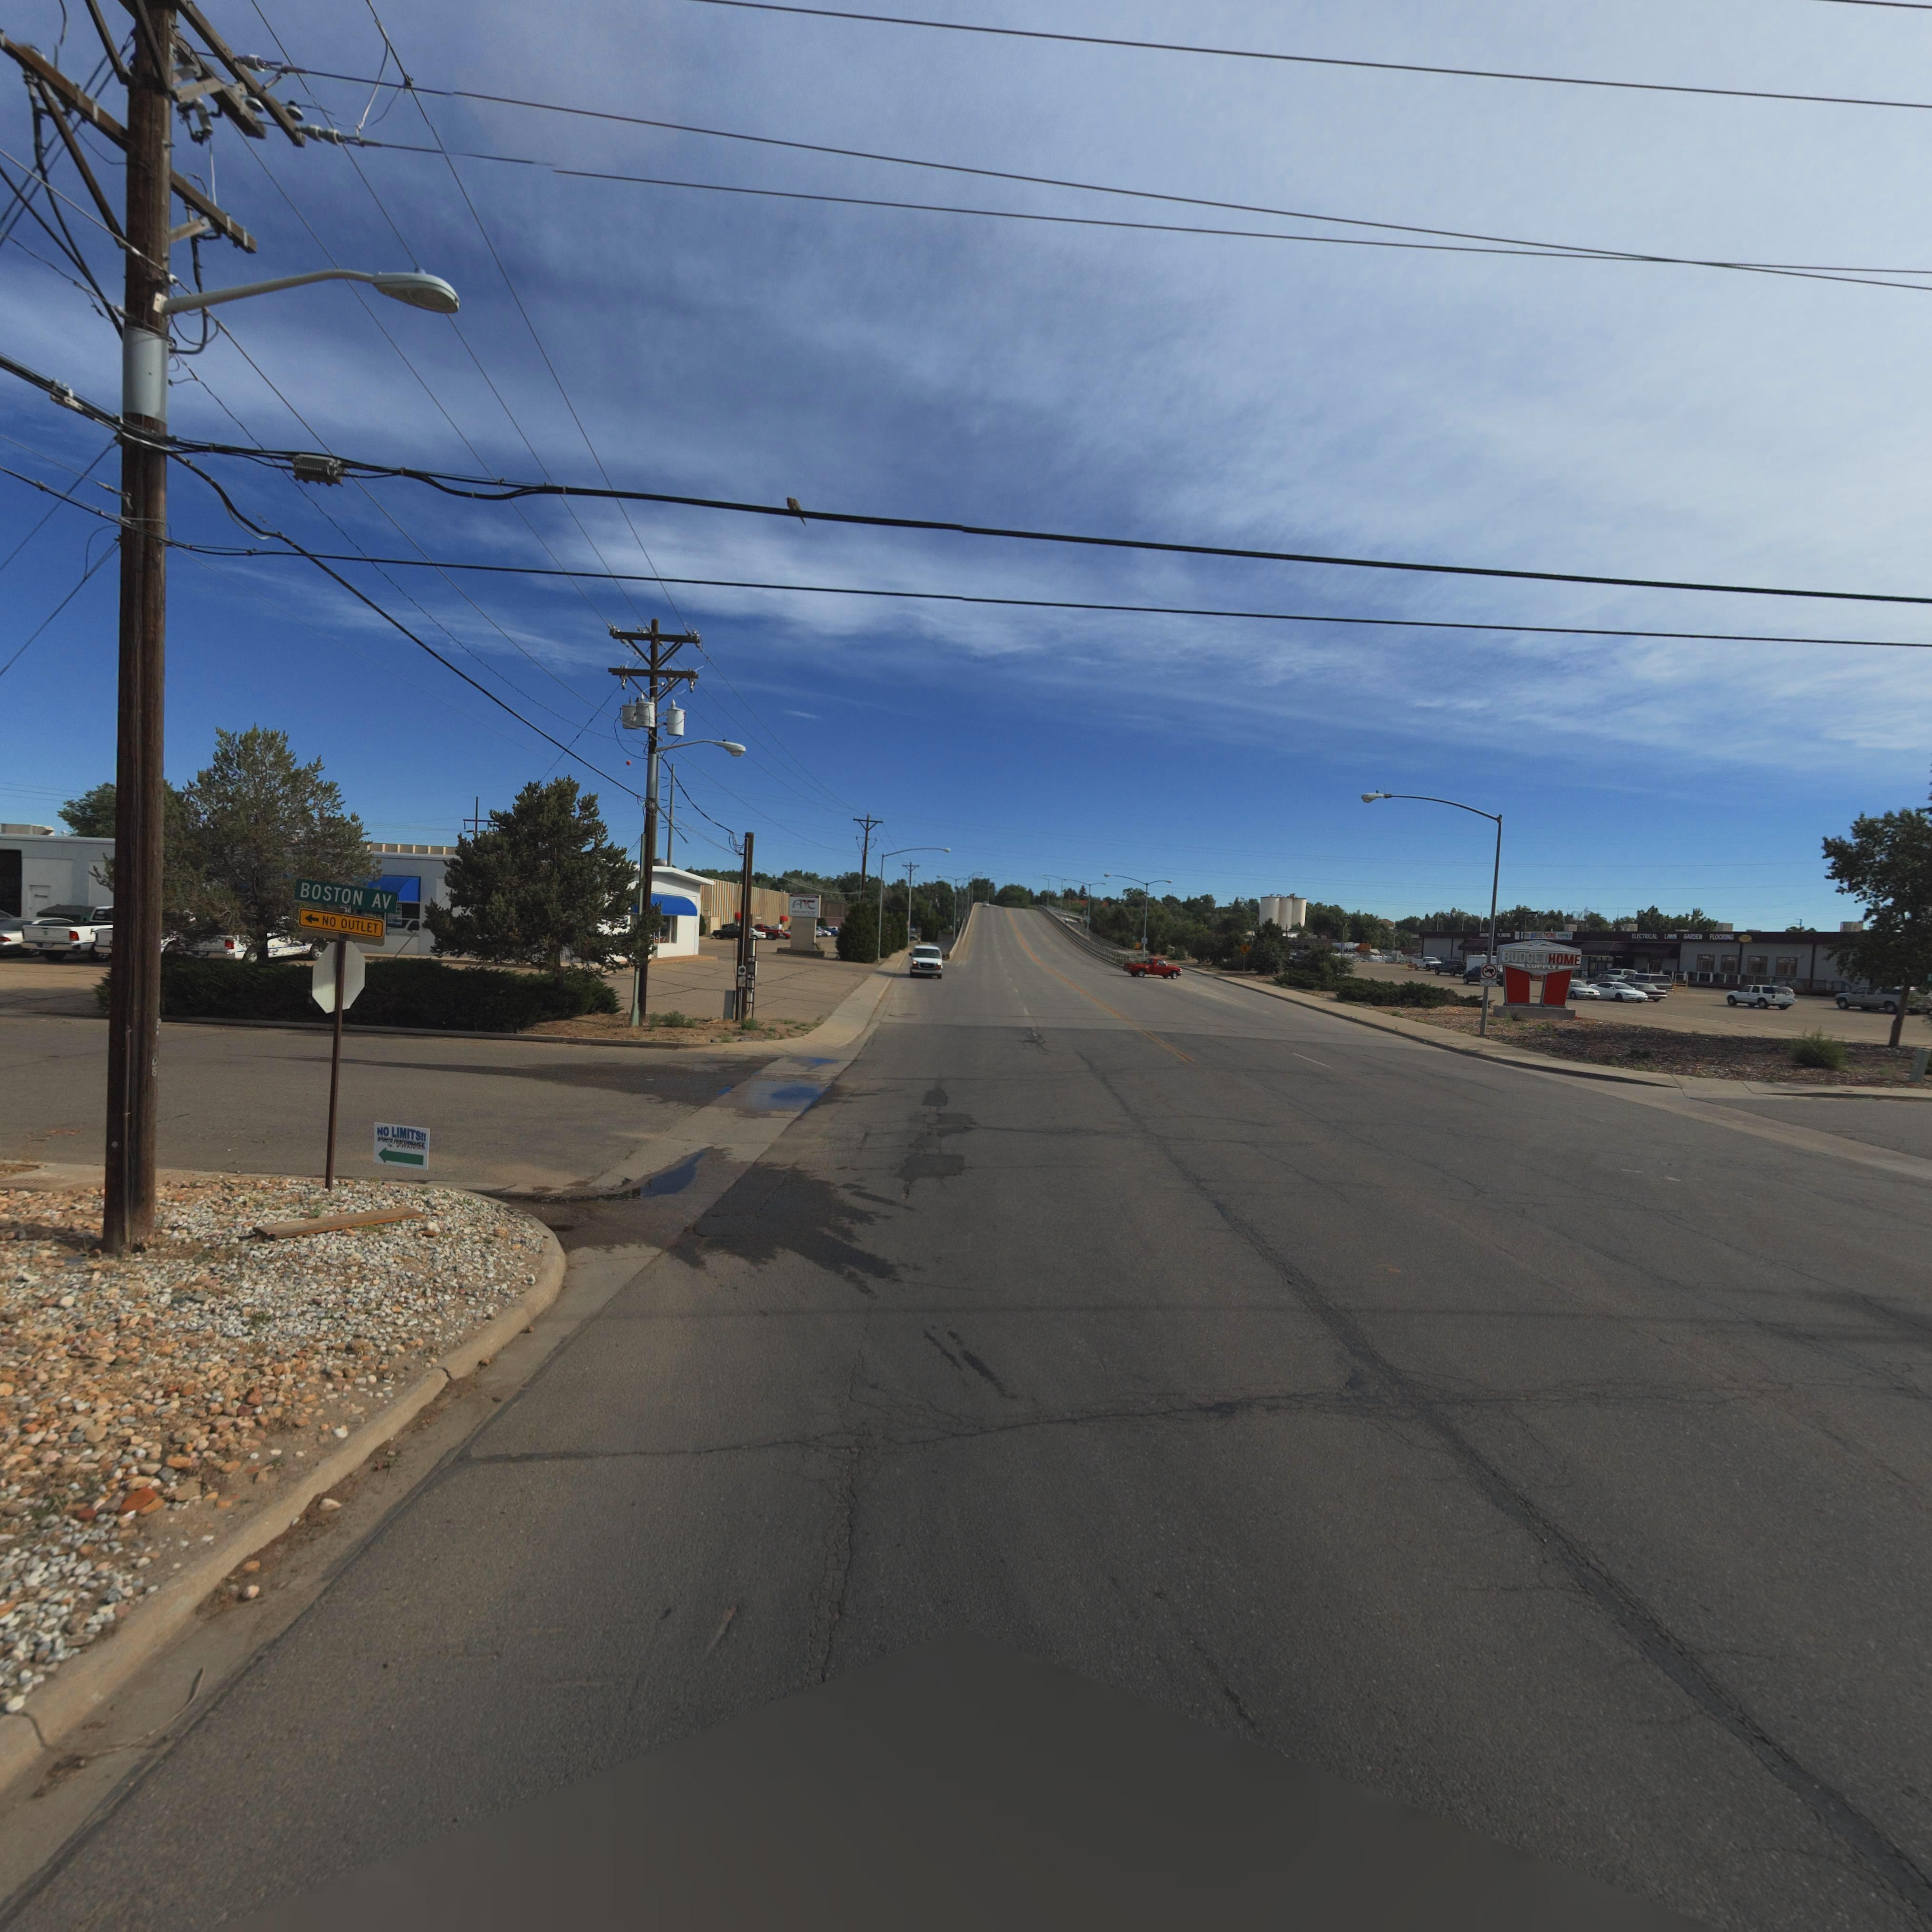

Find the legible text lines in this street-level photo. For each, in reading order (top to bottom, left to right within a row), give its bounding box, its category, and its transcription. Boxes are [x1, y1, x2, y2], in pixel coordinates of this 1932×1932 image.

[299, 881, 394, 910] StreetName: BOSTON AV
[792, 899, 816, 909] BusinessName: A**
[1530, 932, 1557, 938] BusinessName: ****ET****
[1631, 933, 1734, 940] BusinessName: ***ET*****
[1502, 951, 1582, 966] BusinessName: BUDGETHOME
[1525, 963, 1557, 969] BusinessName: SUPPLY
[376, 1125, 426, 1142] None: x*